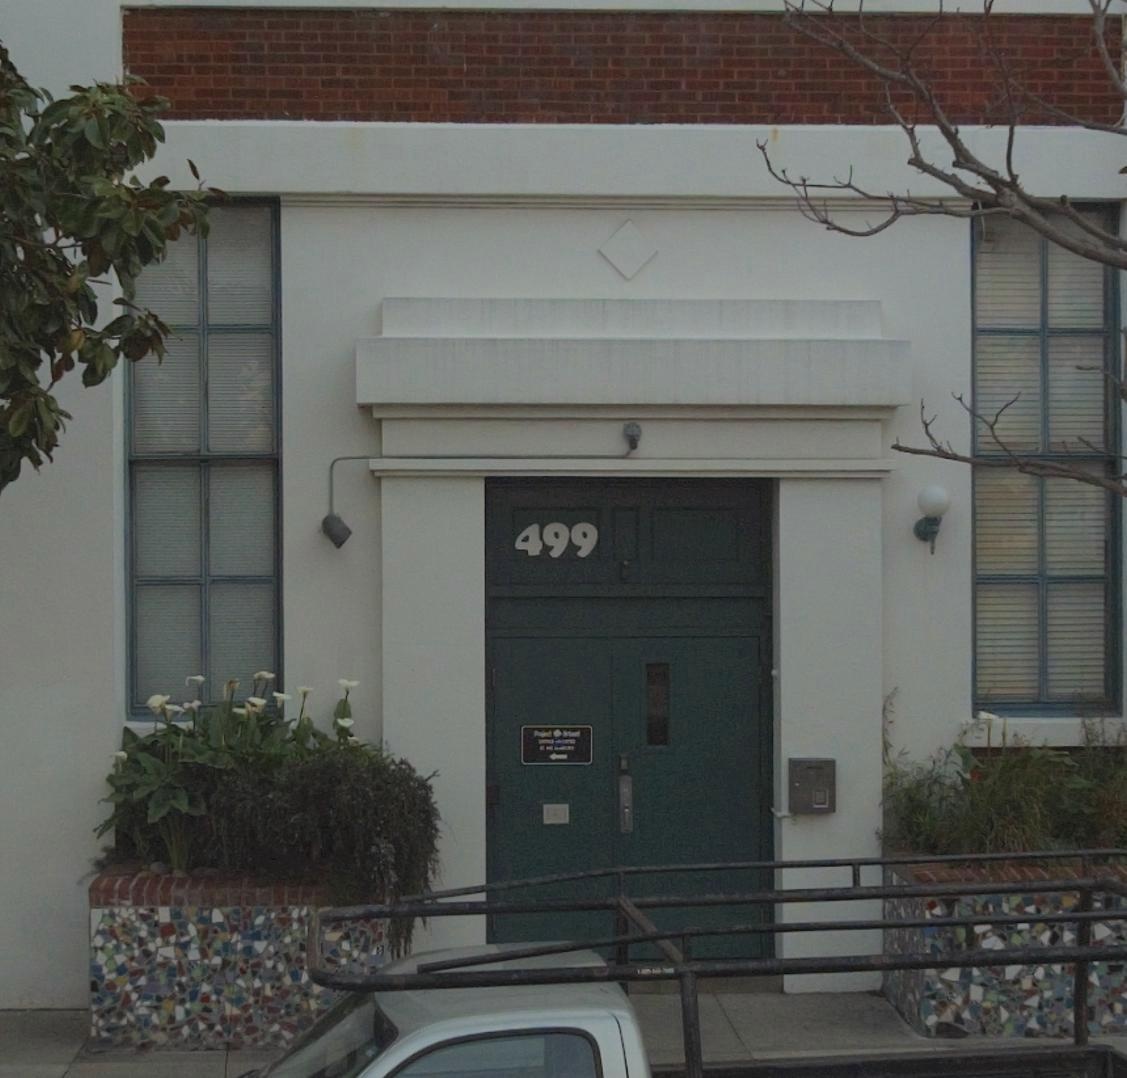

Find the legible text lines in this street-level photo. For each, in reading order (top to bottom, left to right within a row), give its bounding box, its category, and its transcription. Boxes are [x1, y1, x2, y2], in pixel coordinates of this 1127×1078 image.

[512, 520, 600, 560] StreetNumber: 499